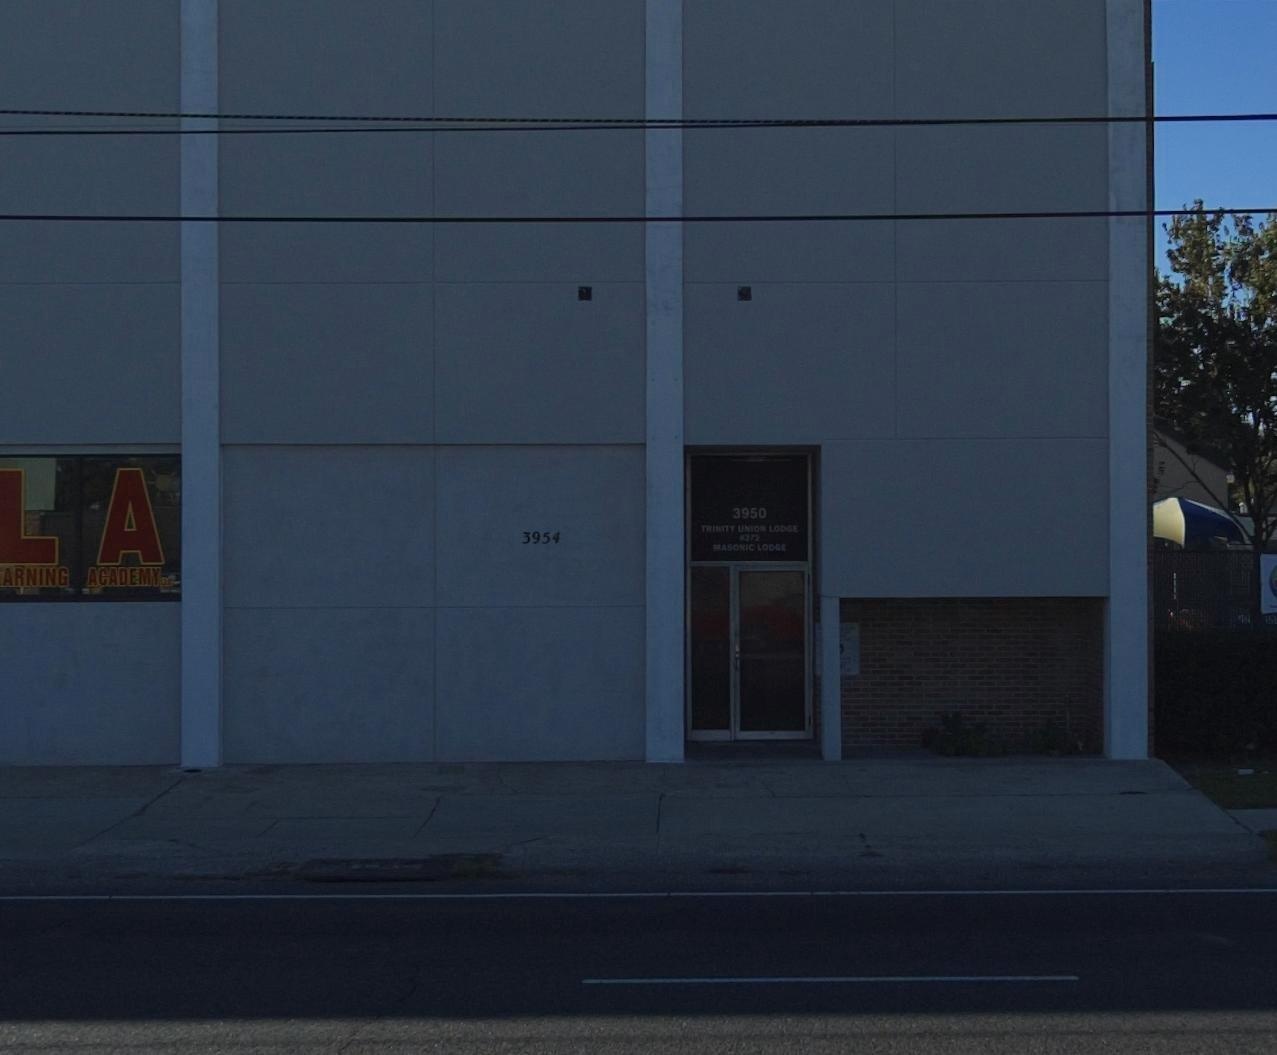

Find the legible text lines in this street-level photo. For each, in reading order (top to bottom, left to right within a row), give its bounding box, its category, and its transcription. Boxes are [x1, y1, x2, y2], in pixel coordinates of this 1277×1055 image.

[93, 464, 167, 567] None: A
[731, 506, 769, 521] StreetNumber: 3950
[696, 521, 799, 534] BusinessName: TRINITY UNION LODGE
[518, 529, 564, 546] StreetNumber: 3954
[736, 531, 762, 543] None: #372
[711, 541, 788, 553] None: MASONIC LODGE
[1, 562, 71, 589] None: ARNING
[84, 565, 163, 589] None: ACADEMY